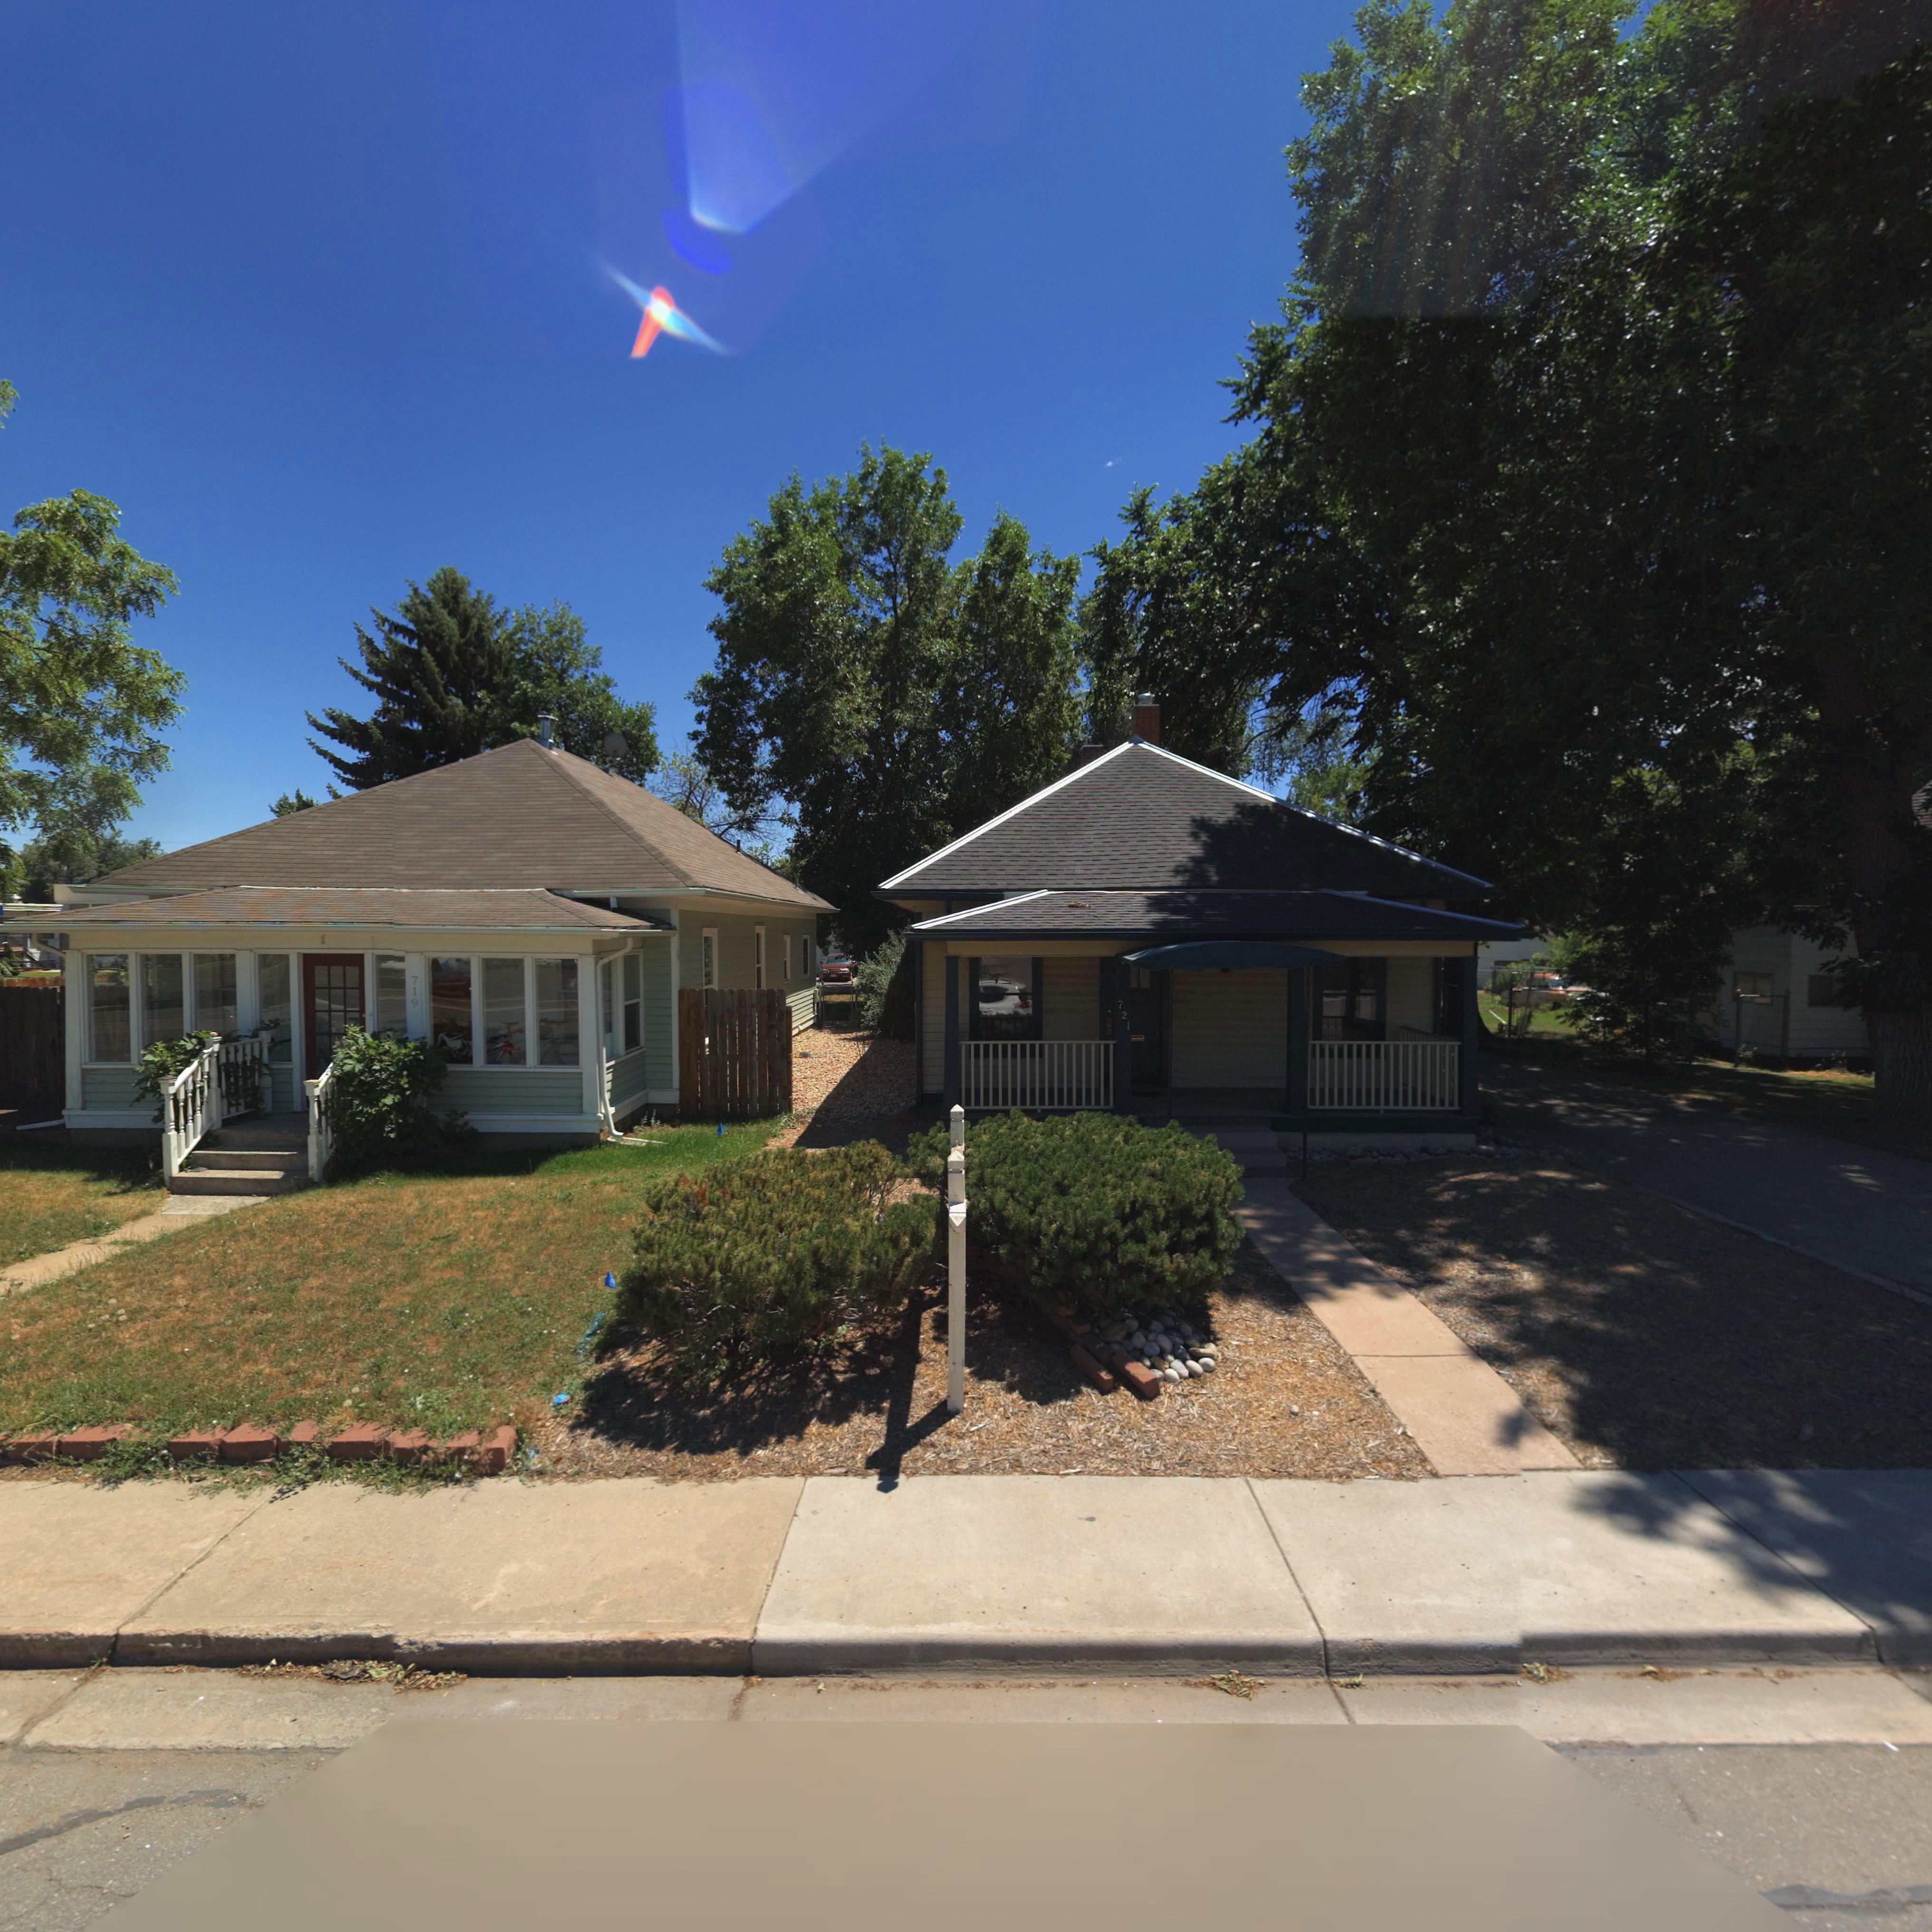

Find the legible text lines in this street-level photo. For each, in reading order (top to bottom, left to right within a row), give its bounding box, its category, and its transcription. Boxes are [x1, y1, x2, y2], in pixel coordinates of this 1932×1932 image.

[410, 976, 419, 1008] StreetNumber: 719
[1117, 1000, 1130, 1031] StreetNumber: 721